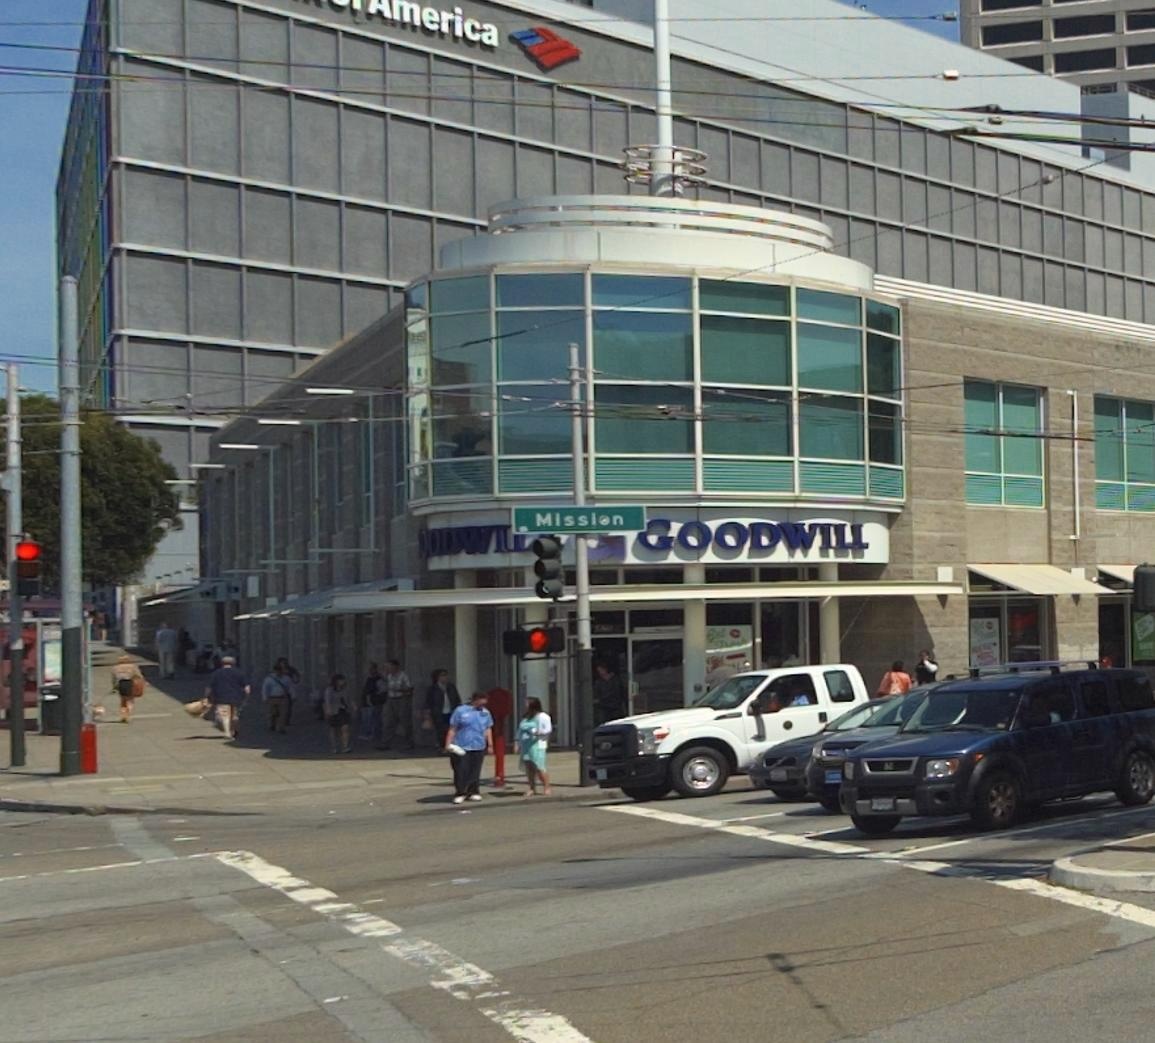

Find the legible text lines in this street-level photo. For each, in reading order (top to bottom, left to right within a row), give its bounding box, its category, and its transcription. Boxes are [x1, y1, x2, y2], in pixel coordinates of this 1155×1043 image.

[392, 0, 503, 52] BusinessName: merica
[416, 523, 529, 560] BusinessName: *OODWIL*
[534, 511, 625, 528] StreetName: Mission
[638, 516, 873, 552] BusinessName: GOODWILL